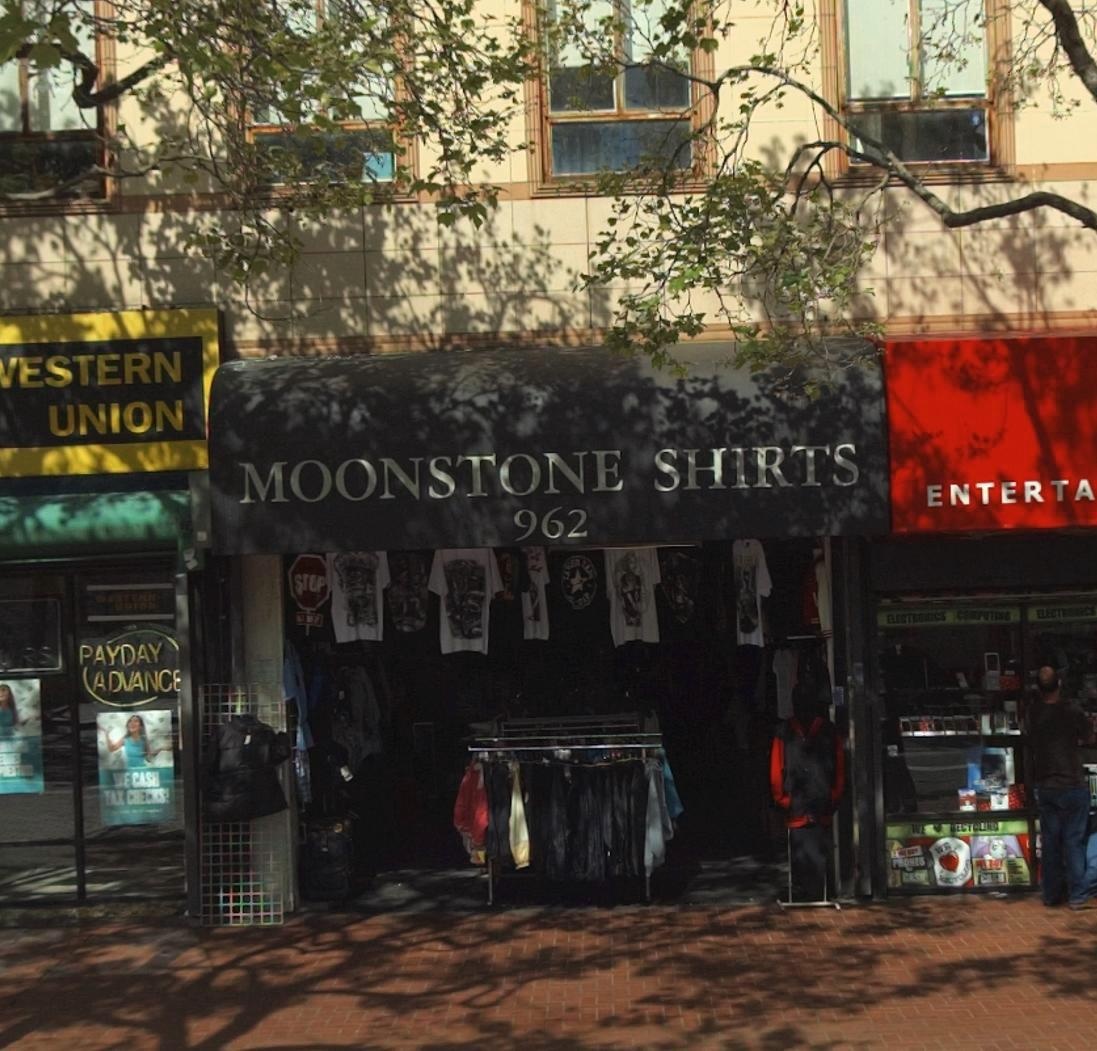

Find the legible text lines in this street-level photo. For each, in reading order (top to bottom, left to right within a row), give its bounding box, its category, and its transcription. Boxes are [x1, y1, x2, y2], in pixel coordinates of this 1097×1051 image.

[13, 344, 188, 396] BusinessName: ESTERN
[42, 392, 190, 442] BusinessName: UNION
[233, 435, 864, 509] BusinessName: MOONSTONE SHIRTS
[920, 472, 1097, 511] None: ENTERTA
[509, 504, 593, 548] StreetNumber: 962
[73, 633, 169, 671] None: PAYDAY
[89, 664, 177, 697] None: ADVANC
[108, 767, 163, 793] None: WE CASH
[99, 784, 174, 811] None: TAX CHECKS!